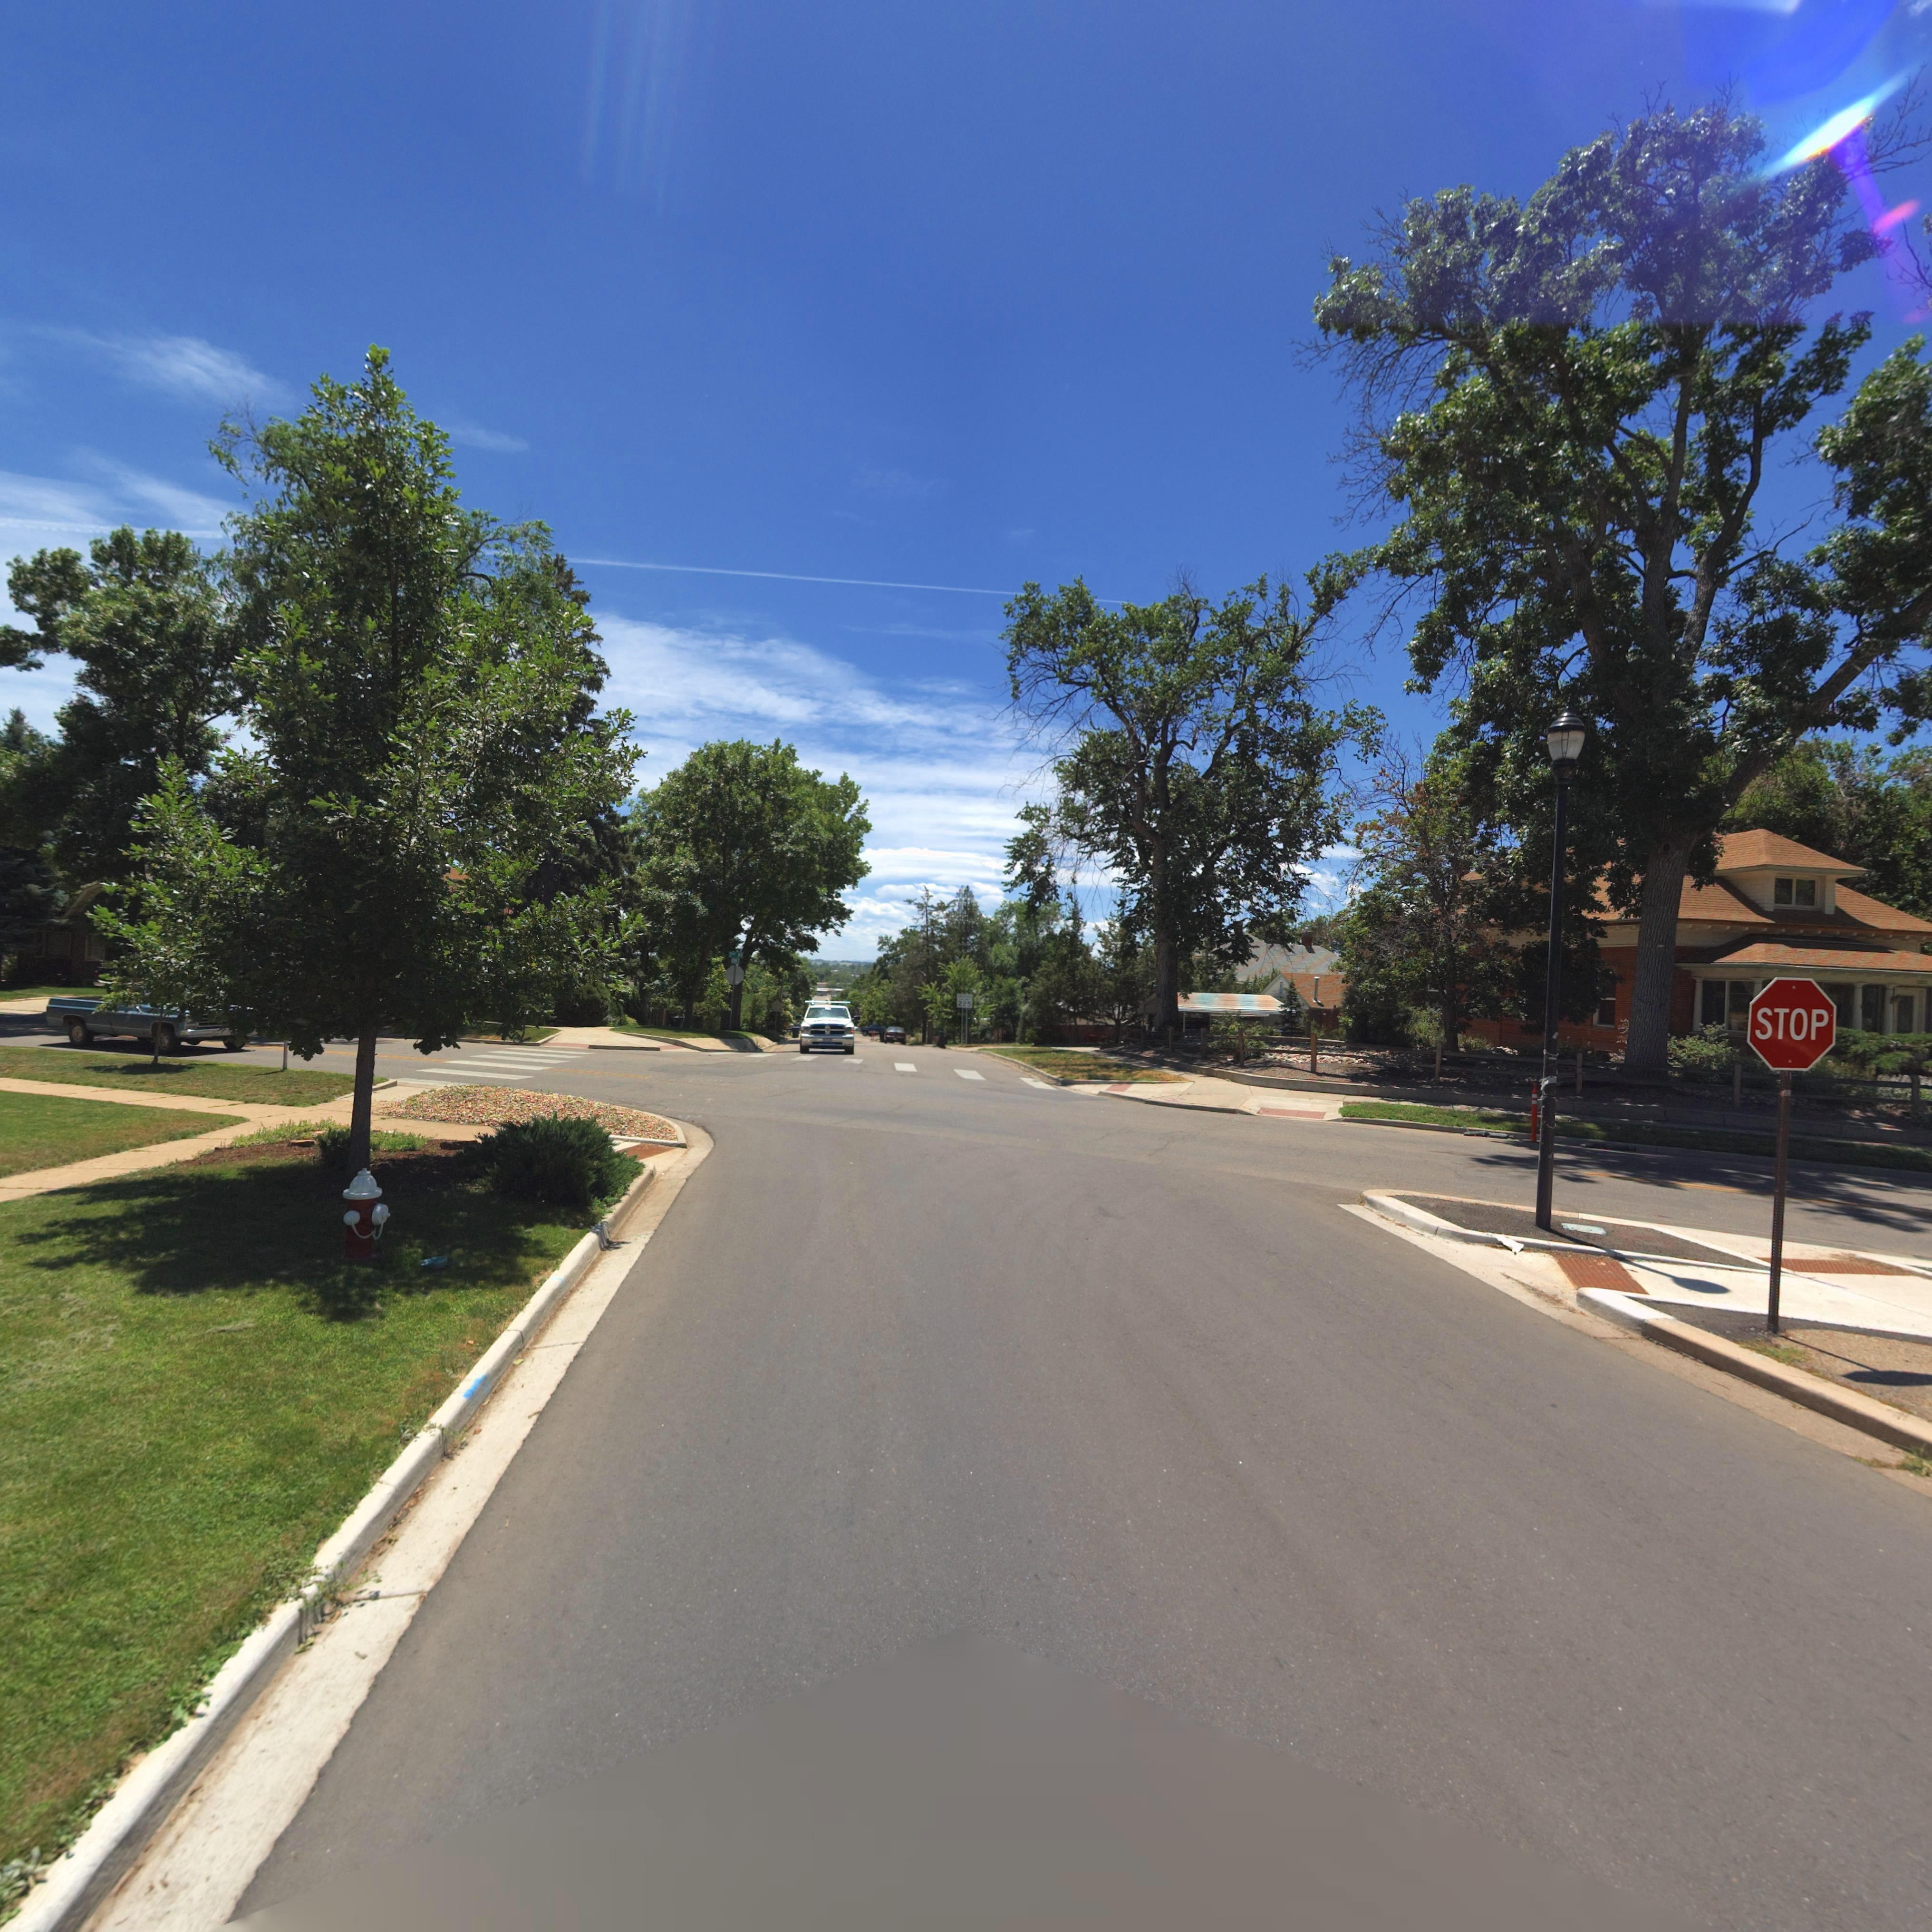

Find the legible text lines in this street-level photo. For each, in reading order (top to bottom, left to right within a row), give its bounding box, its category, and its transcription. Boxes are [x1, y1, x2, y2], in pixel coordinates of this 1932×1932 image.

[729, 952, 743, 957] StreetName: 3** AV